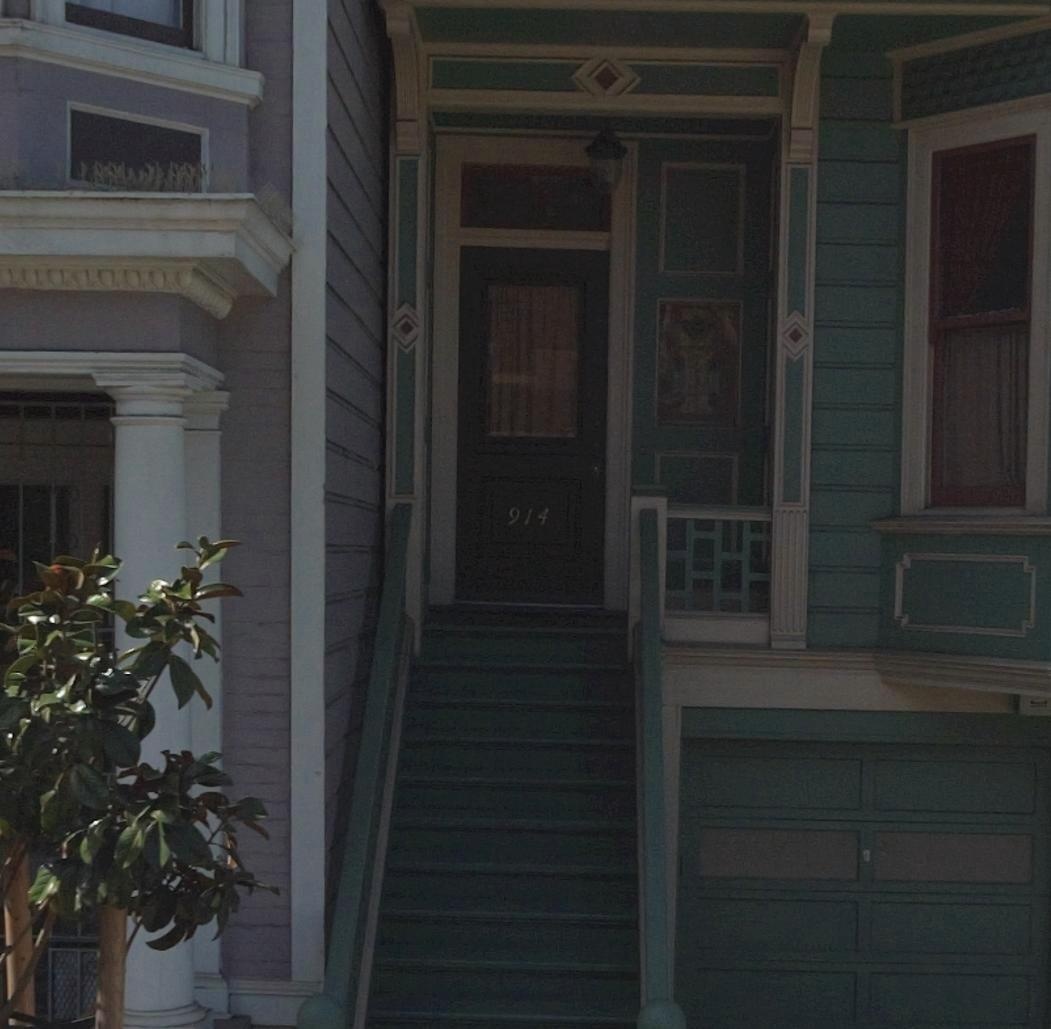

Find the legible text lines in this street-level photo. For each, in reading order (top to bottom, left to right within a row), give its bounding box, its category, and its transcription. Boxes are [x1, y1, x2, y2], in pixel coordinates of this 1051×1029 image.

[506, 505, 550, 528] StreetNumber: 914